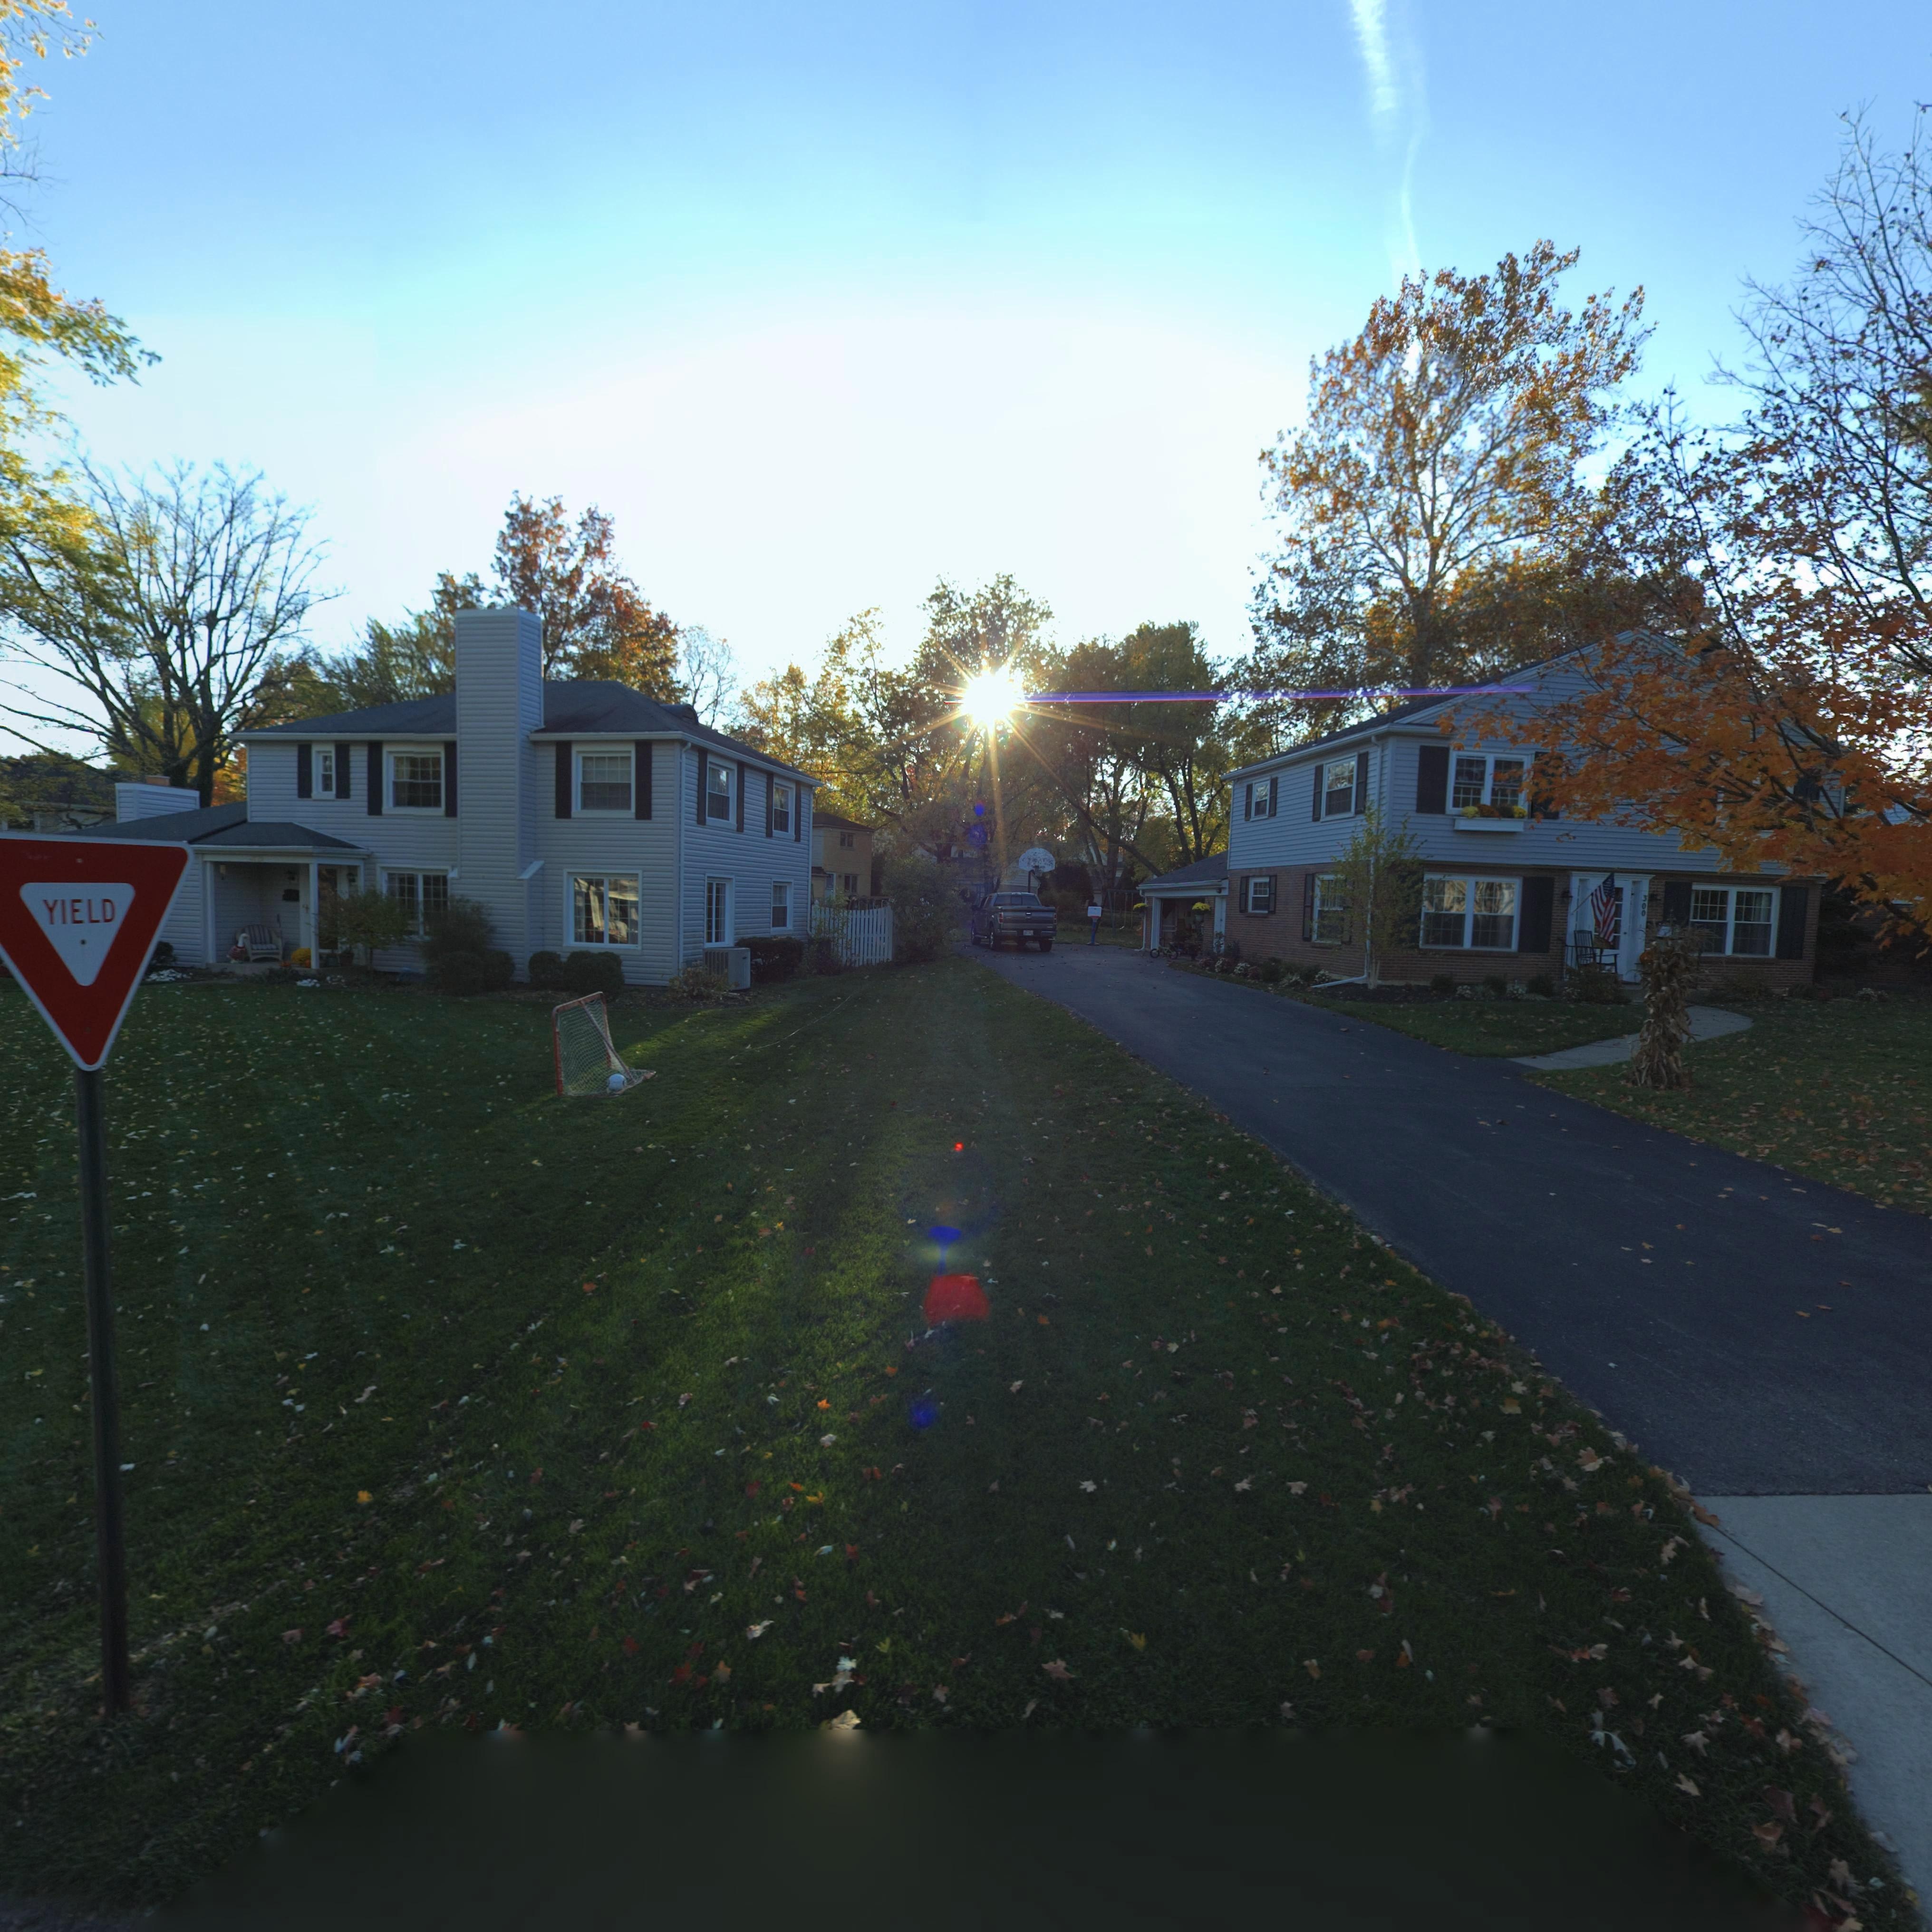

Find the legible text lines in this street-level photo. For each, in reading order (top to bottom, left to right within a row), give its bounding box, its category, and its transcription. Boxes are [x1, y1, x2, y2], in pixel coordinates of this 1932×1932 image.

[1640, 894, 1649, 918] StreetNumber: 300